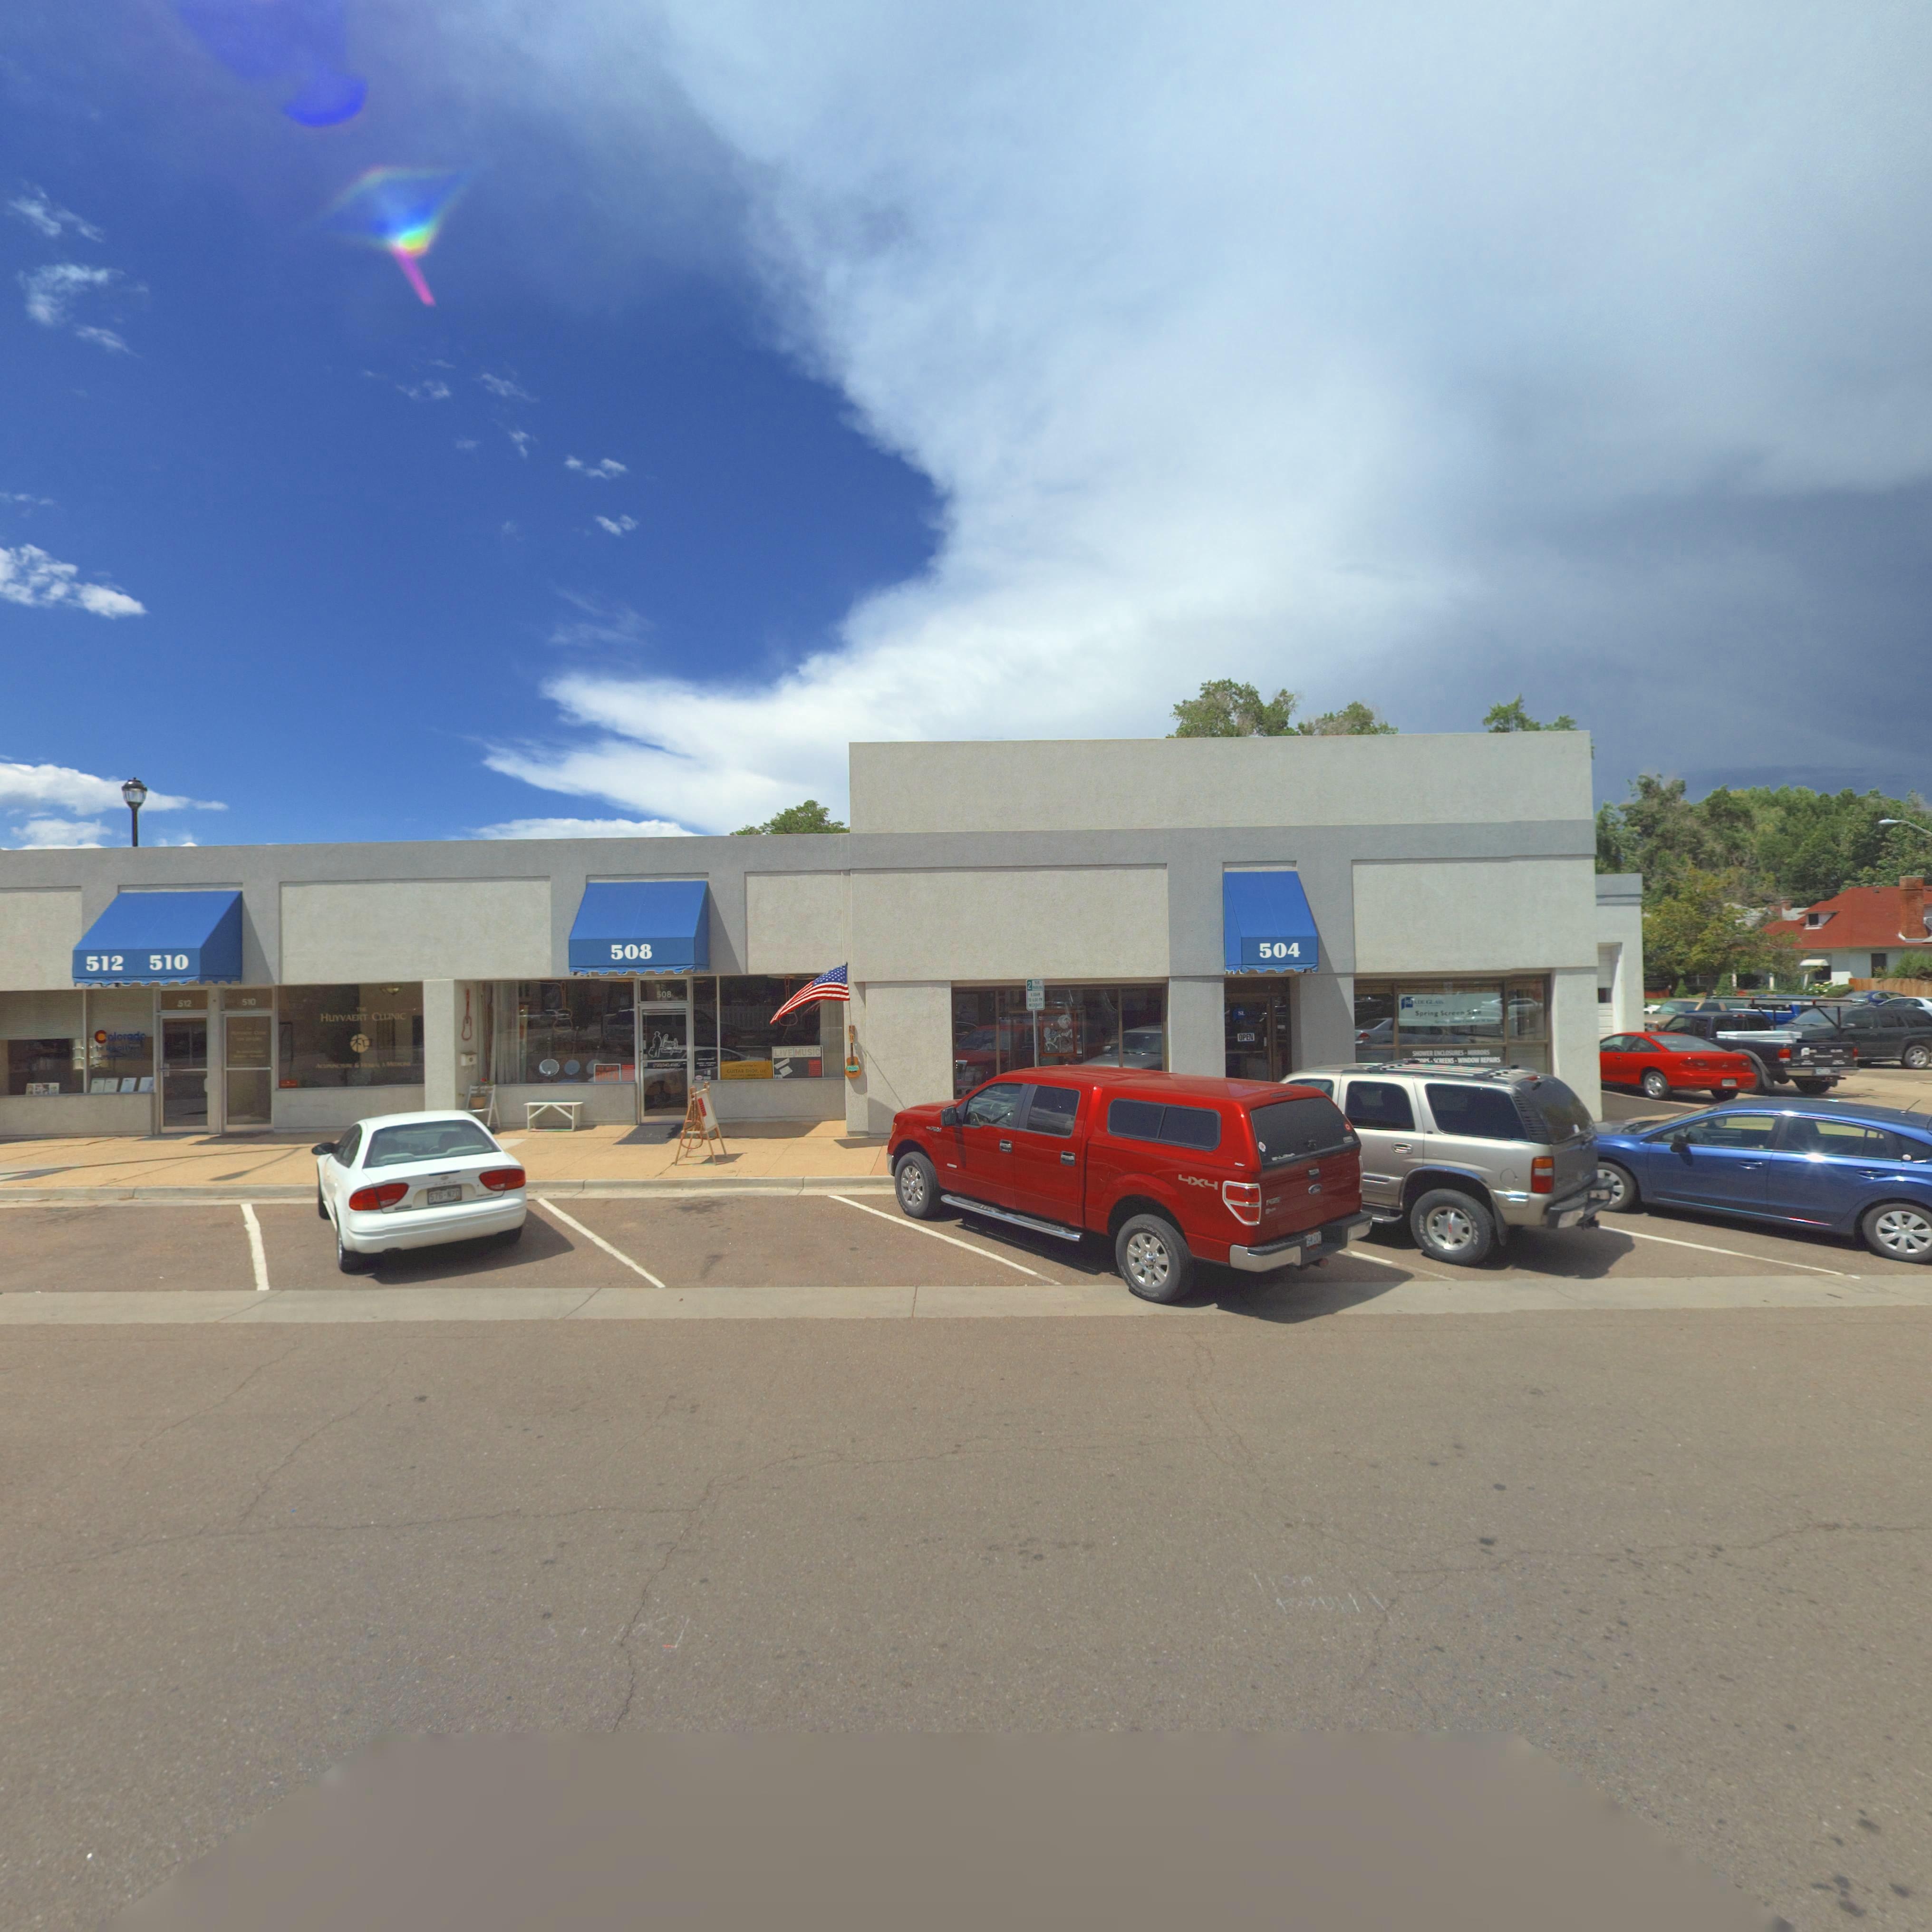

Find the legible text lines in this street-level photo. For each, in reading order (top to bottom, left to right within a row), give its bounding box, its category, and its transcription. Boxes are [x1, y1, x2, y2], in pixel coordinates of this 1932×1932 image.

[610, 943, 652, 960] StreetNumber: 508
[1259, 942, 1301, 958] StreetNumber: 504
[86, 955, 124, 971] StreetNumber: 512
[149, 954, 189, 971] StreetNumber: 510
[657, 990, 671, 998] StreetNumber: 508
[177, 999, 193, 1007] StreetNumber: 512
[241, 997, 256, 1005] StreetNumber: 510
[1405, 999, 1443, 1005] BusinessName: SLADE GLASS
[356, 1006, 367, 1012] BusinessName: THE
[320, 1012, 406, 1022] BusinessName: HUYVAERT CLINIC
[1237, 1011, 1258, 1015] BusinessName: SLADE
[1235, 1018, 1256, 1024] BusinessName: GLASS
[94, 1029, 147, 1044] BusinessName: Colorado
[658, 1033, 678, 1055] BusinessName: Larry's
[735, 1061, 757, 1069] BusinessName: Larry's
[726, 1069, 767, 1073] BusinessName: GUITAR SHOP